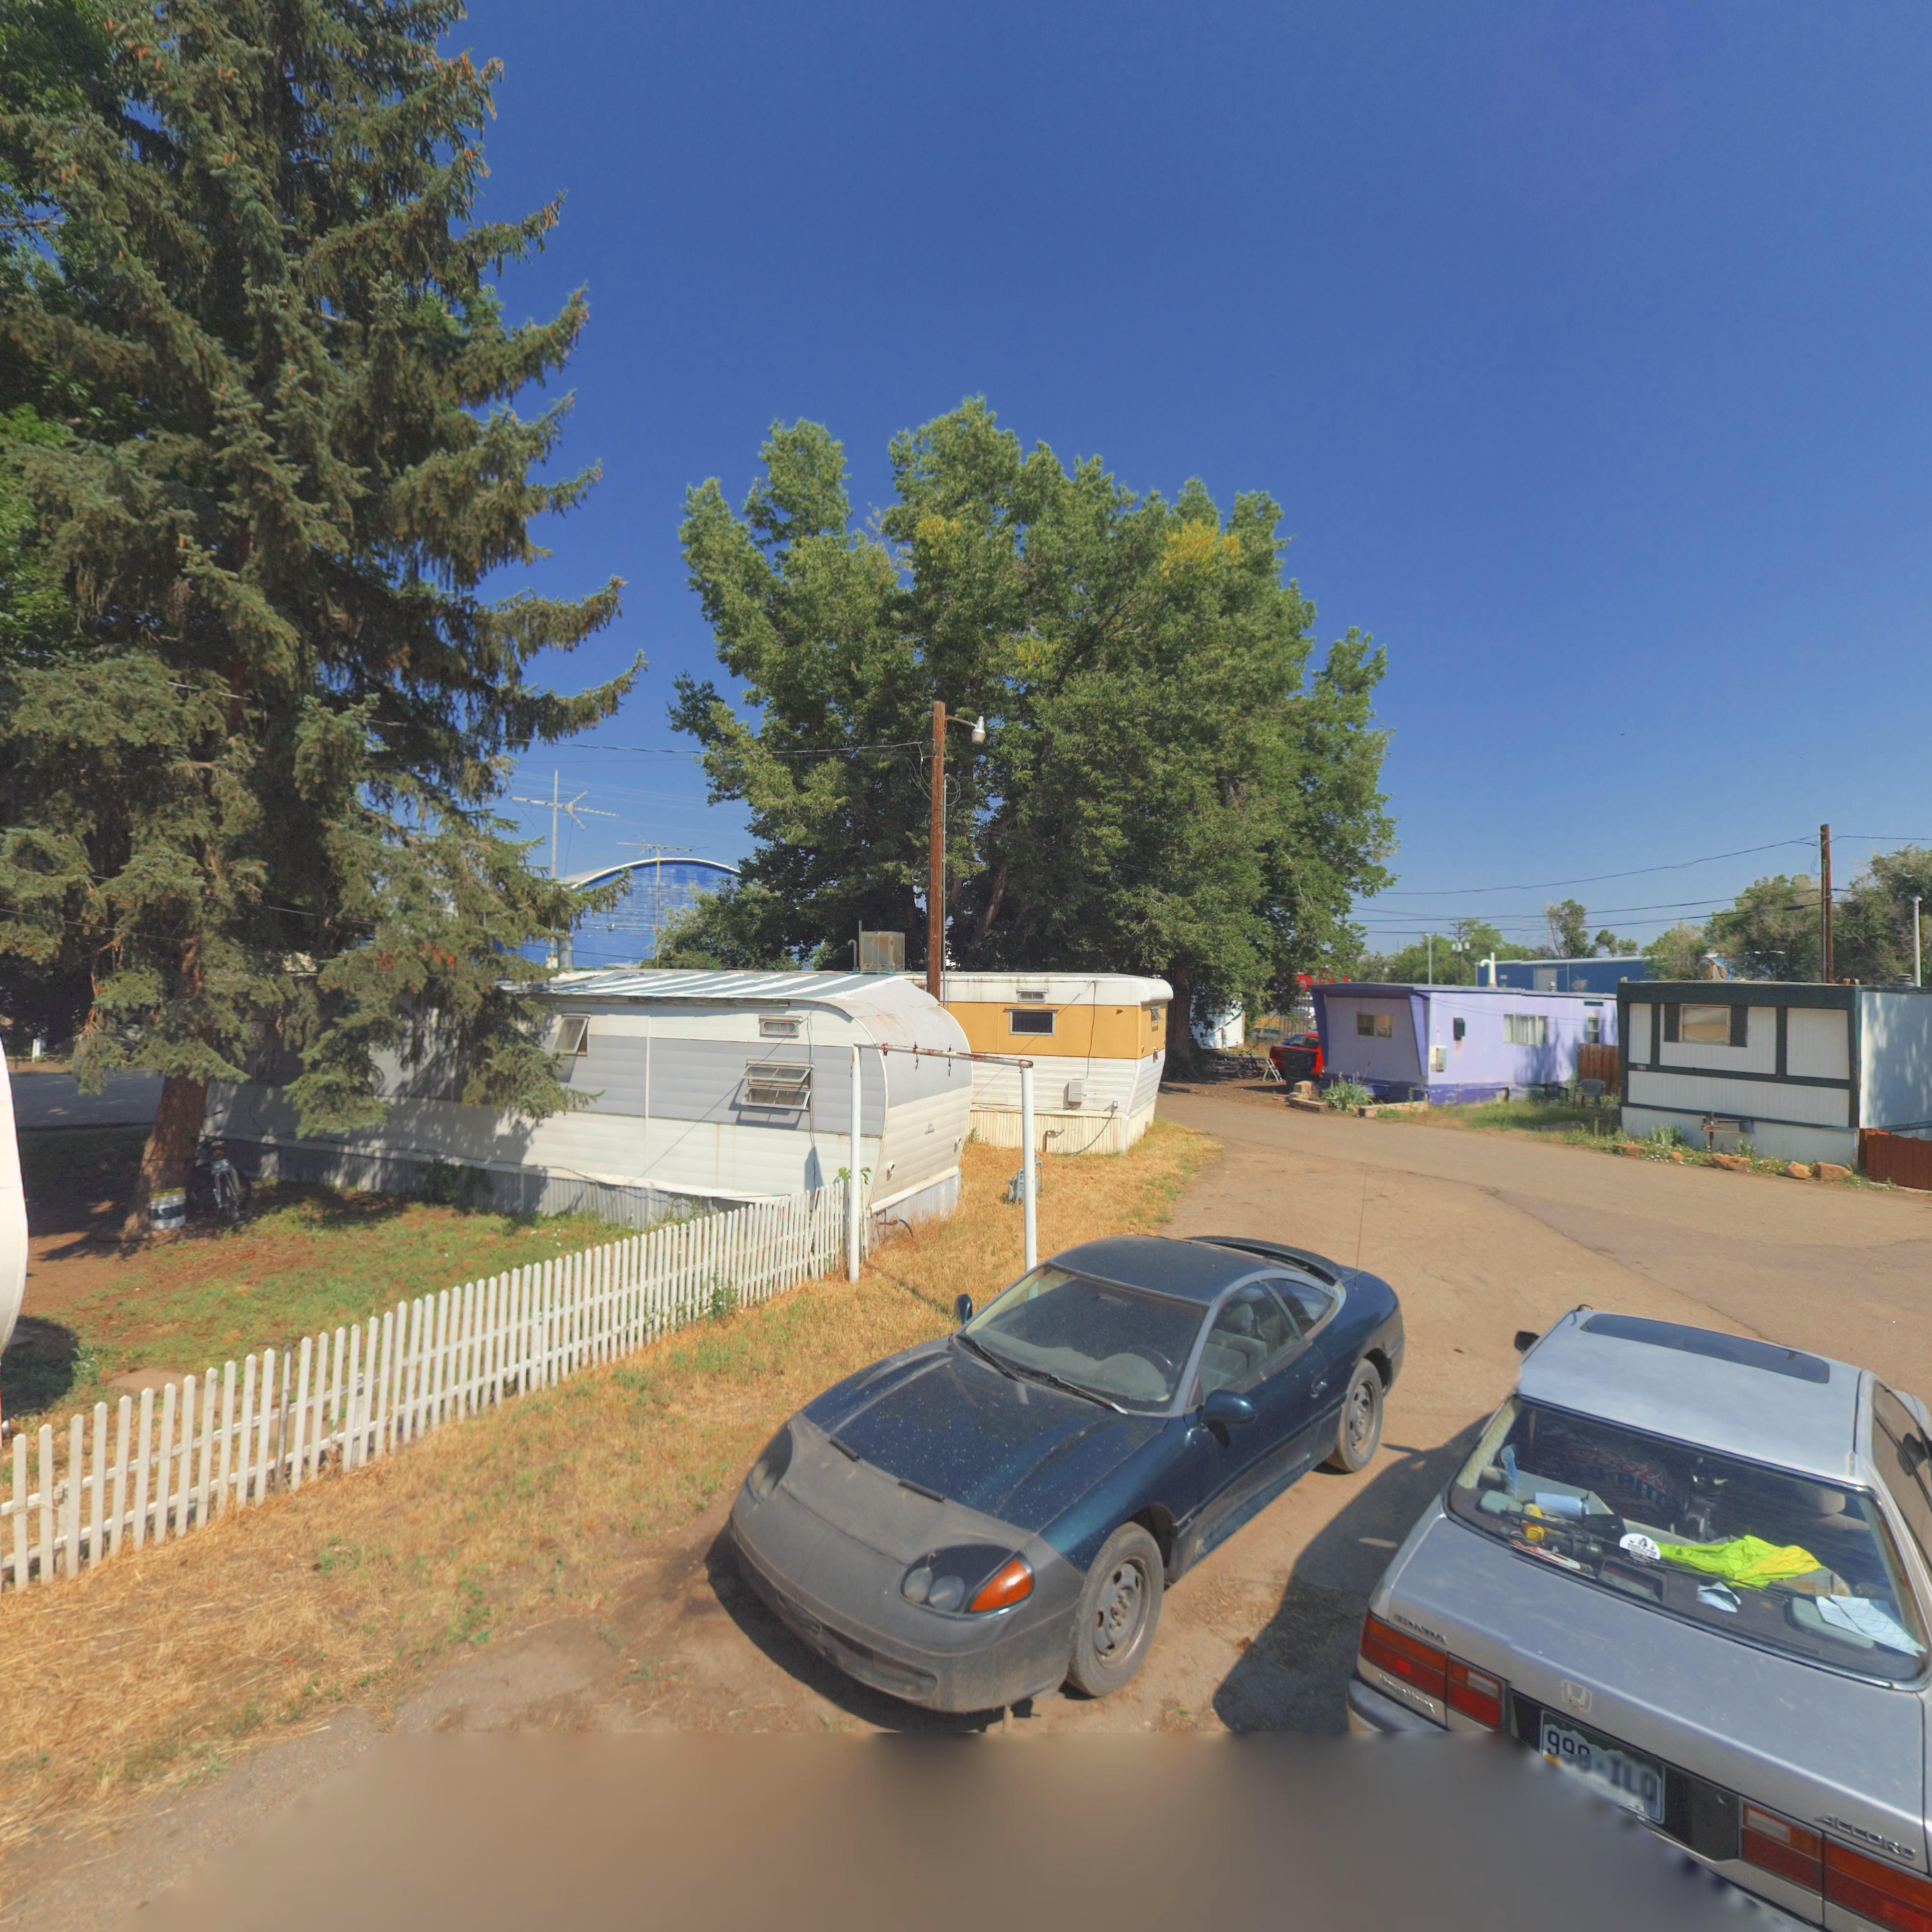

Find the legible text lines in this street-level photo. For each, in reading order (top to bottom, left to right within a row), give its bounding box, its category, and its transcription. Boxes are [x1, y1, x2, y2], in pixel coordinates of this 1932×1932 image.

[1637, 1064, 1646, 1071] StreetNumber: 22